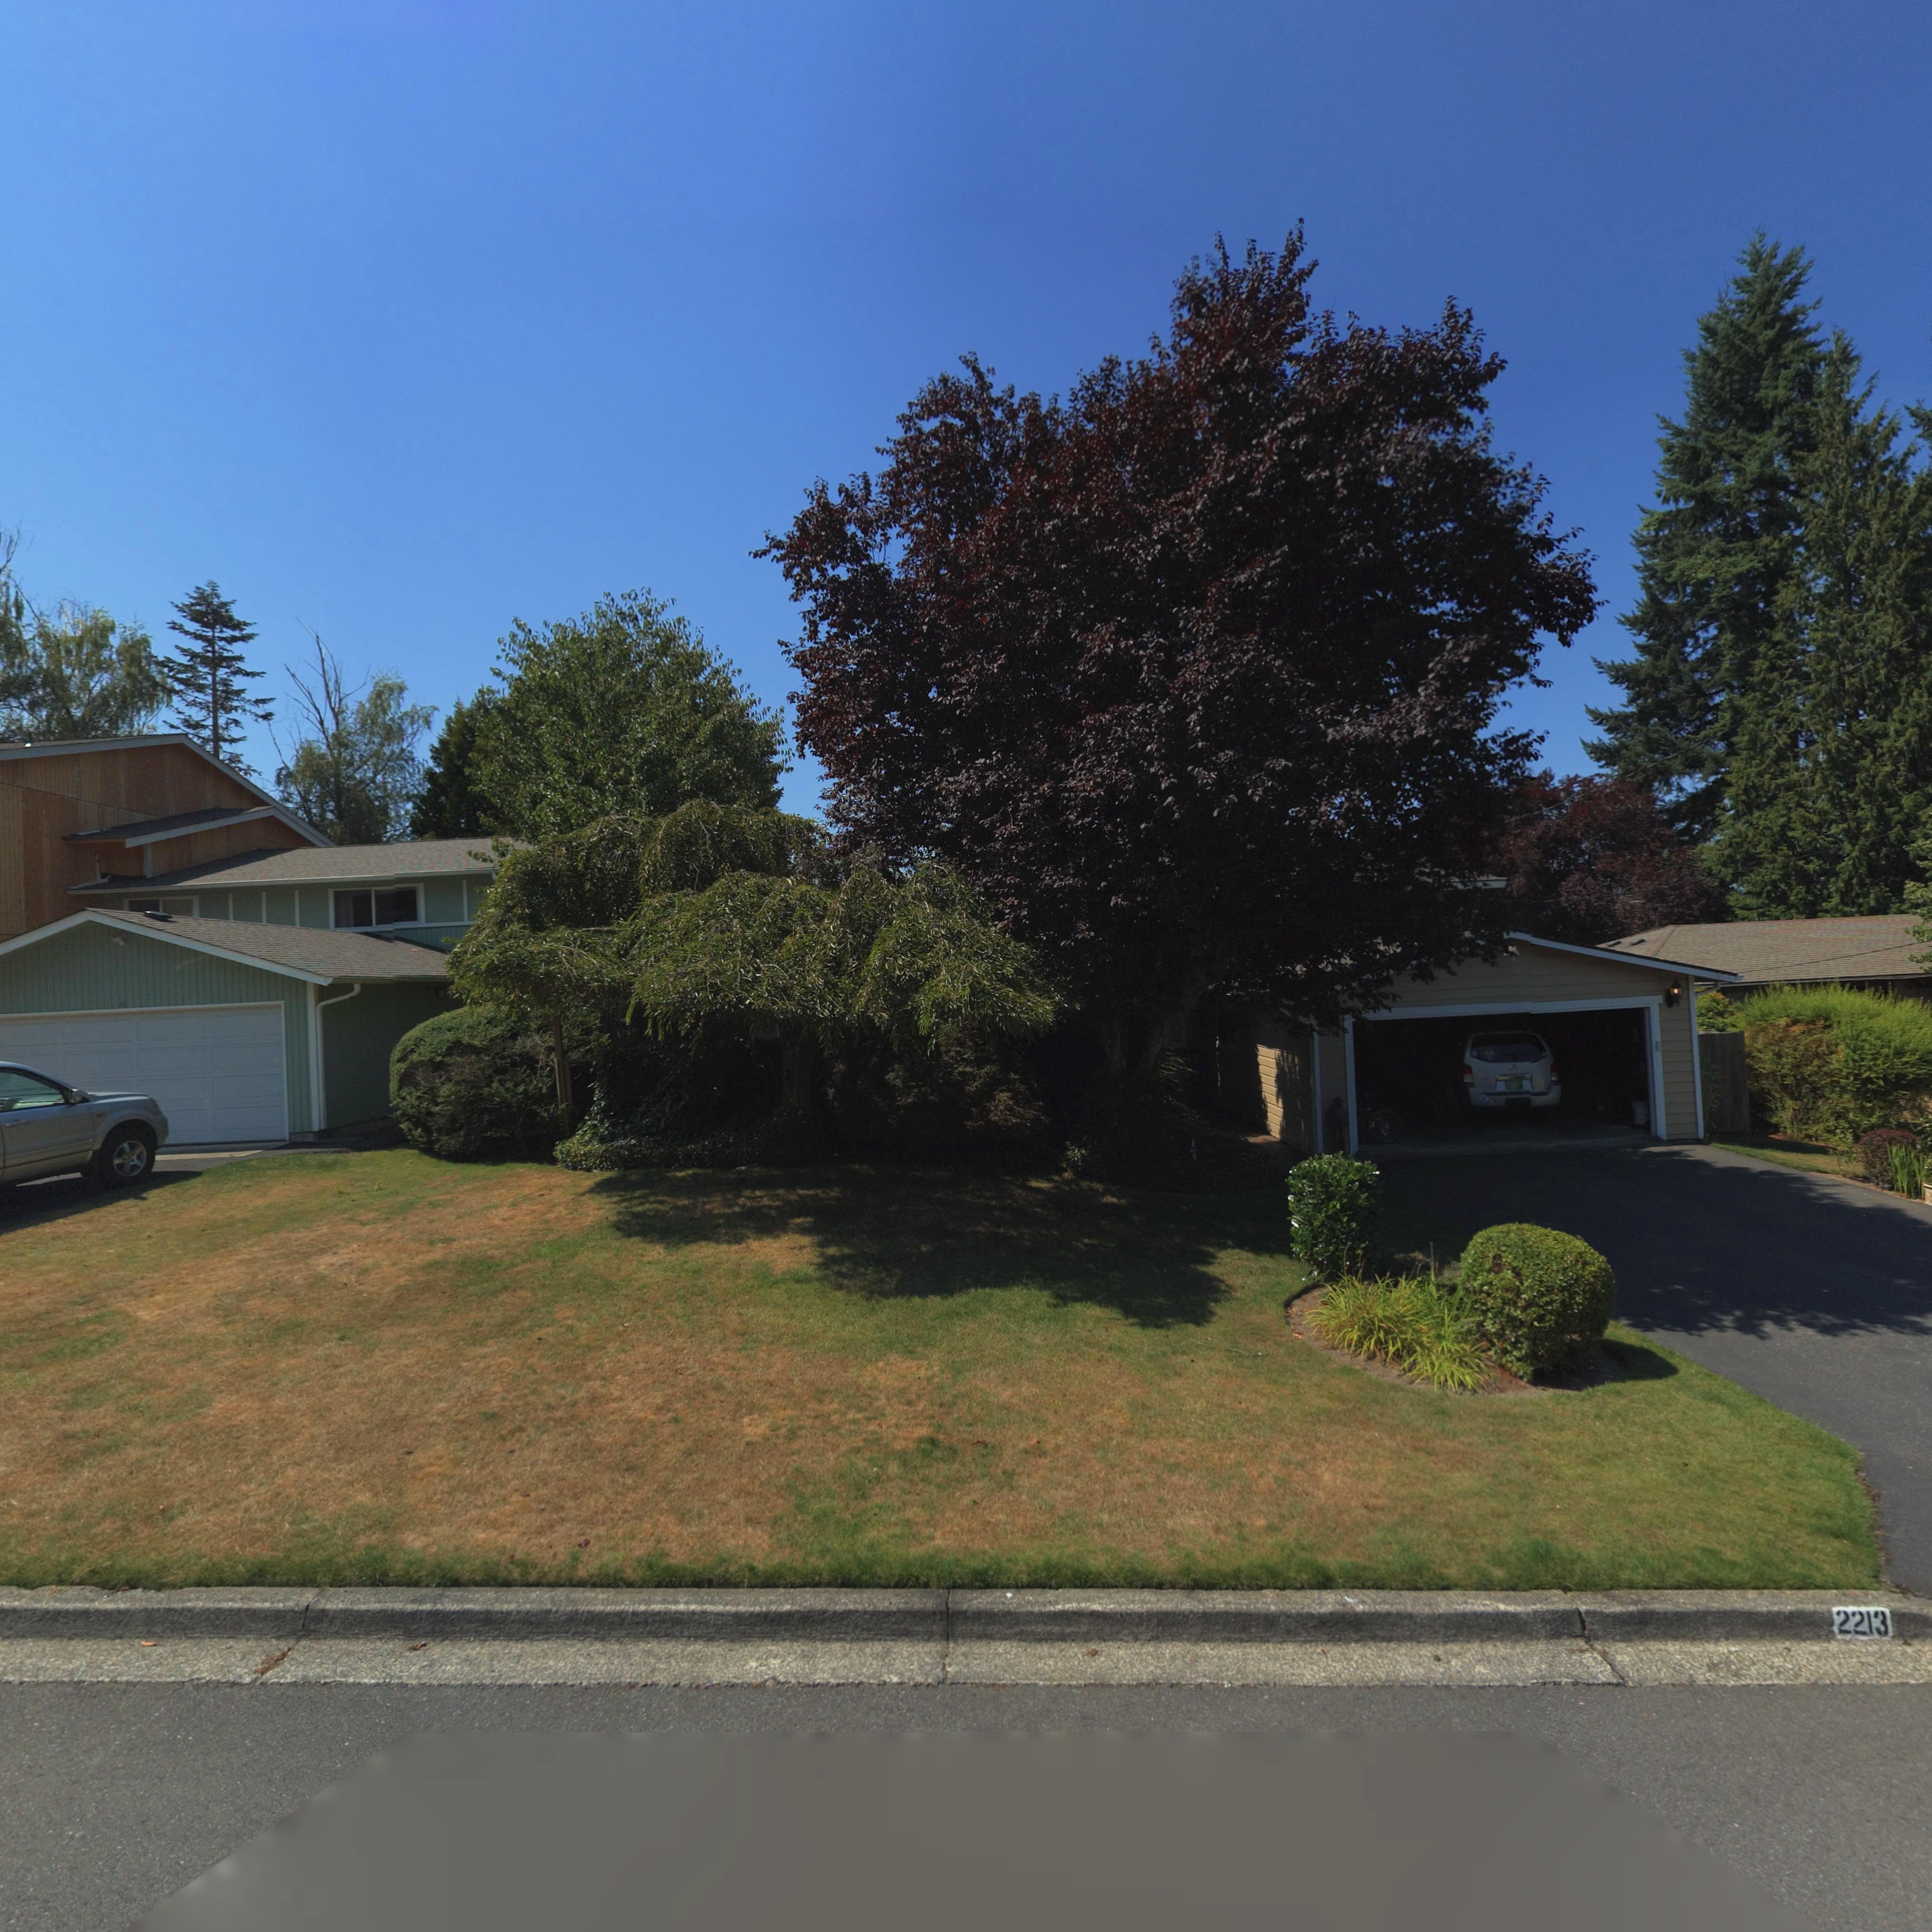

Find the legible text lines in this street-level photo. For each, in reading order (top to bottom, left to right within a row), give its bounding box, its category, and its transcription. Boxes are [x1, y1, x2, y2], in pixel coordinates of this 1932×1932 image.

[1835, 1608, 1890, 1637] StreetNumber: 2213